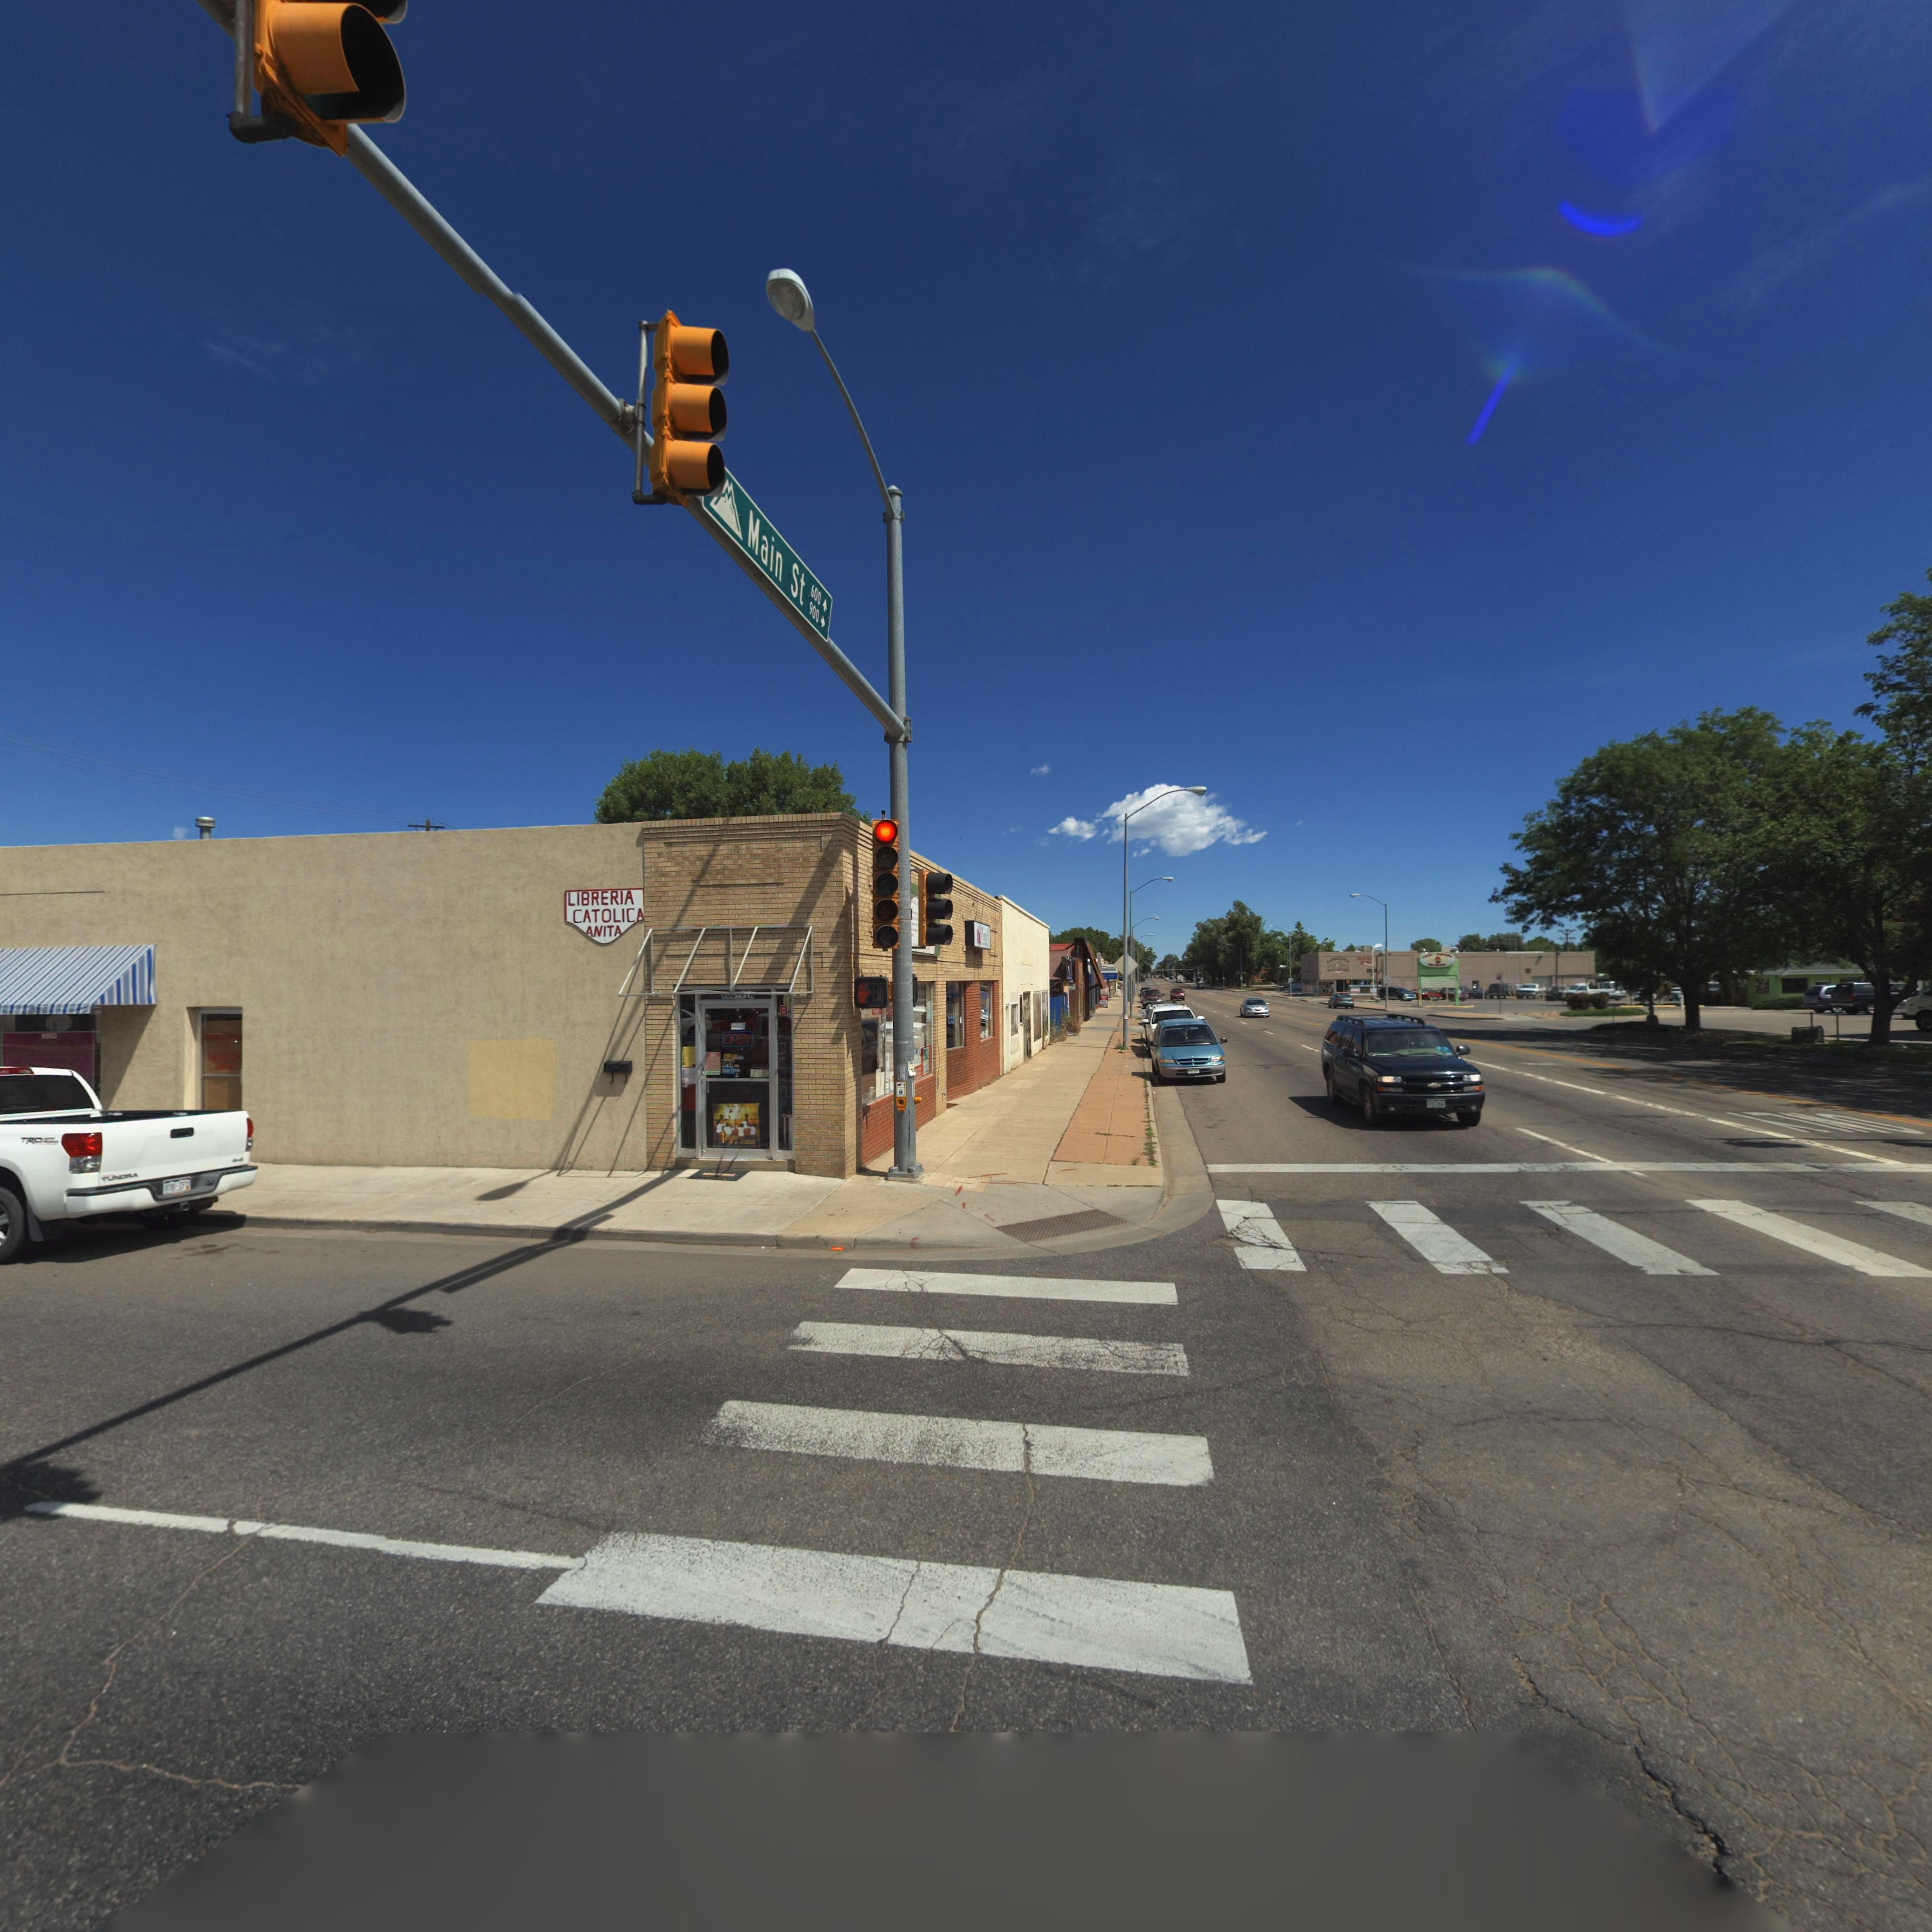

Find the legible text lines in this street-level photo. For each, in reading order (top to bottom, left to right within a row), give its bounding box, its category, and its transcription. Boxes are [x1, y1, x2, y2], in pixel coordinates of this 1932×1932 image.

[746, 507, 806, 607] StreetName: Main St
[810, 583, 822, 606] StreetNumberRange: 600
[809, 600, 826, 628] StreetNumberRange: 900->
[568, 889, 635, 907] BusinessName: LIBRERIA
[572, 907, 646, 923] BusinessName: CATOLICA
[584, 924, 624, 937] BusinessName: ANITA